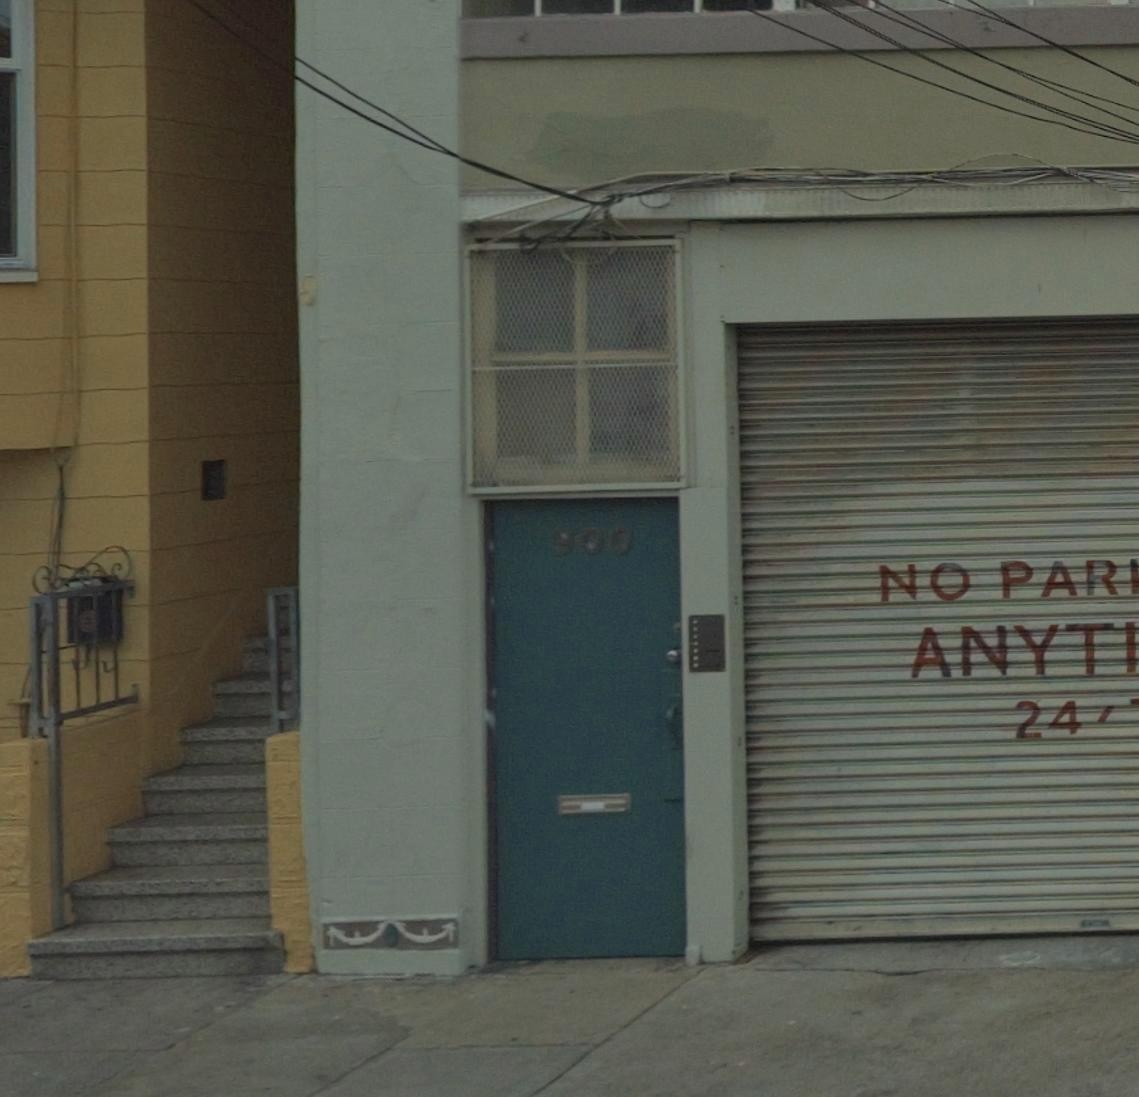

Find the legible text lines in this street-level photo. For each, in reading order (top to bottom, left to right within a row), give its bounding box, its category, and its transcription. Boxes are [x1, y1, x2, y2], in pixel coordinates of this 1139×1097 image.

[548, 524, 639, 559] StreetNumber: 900
[876, 557, 1121, 606] None: NO PAR
[907, 621, 1118, 681] None: ANYT
[1013, 698, 1085, 744] None: 24